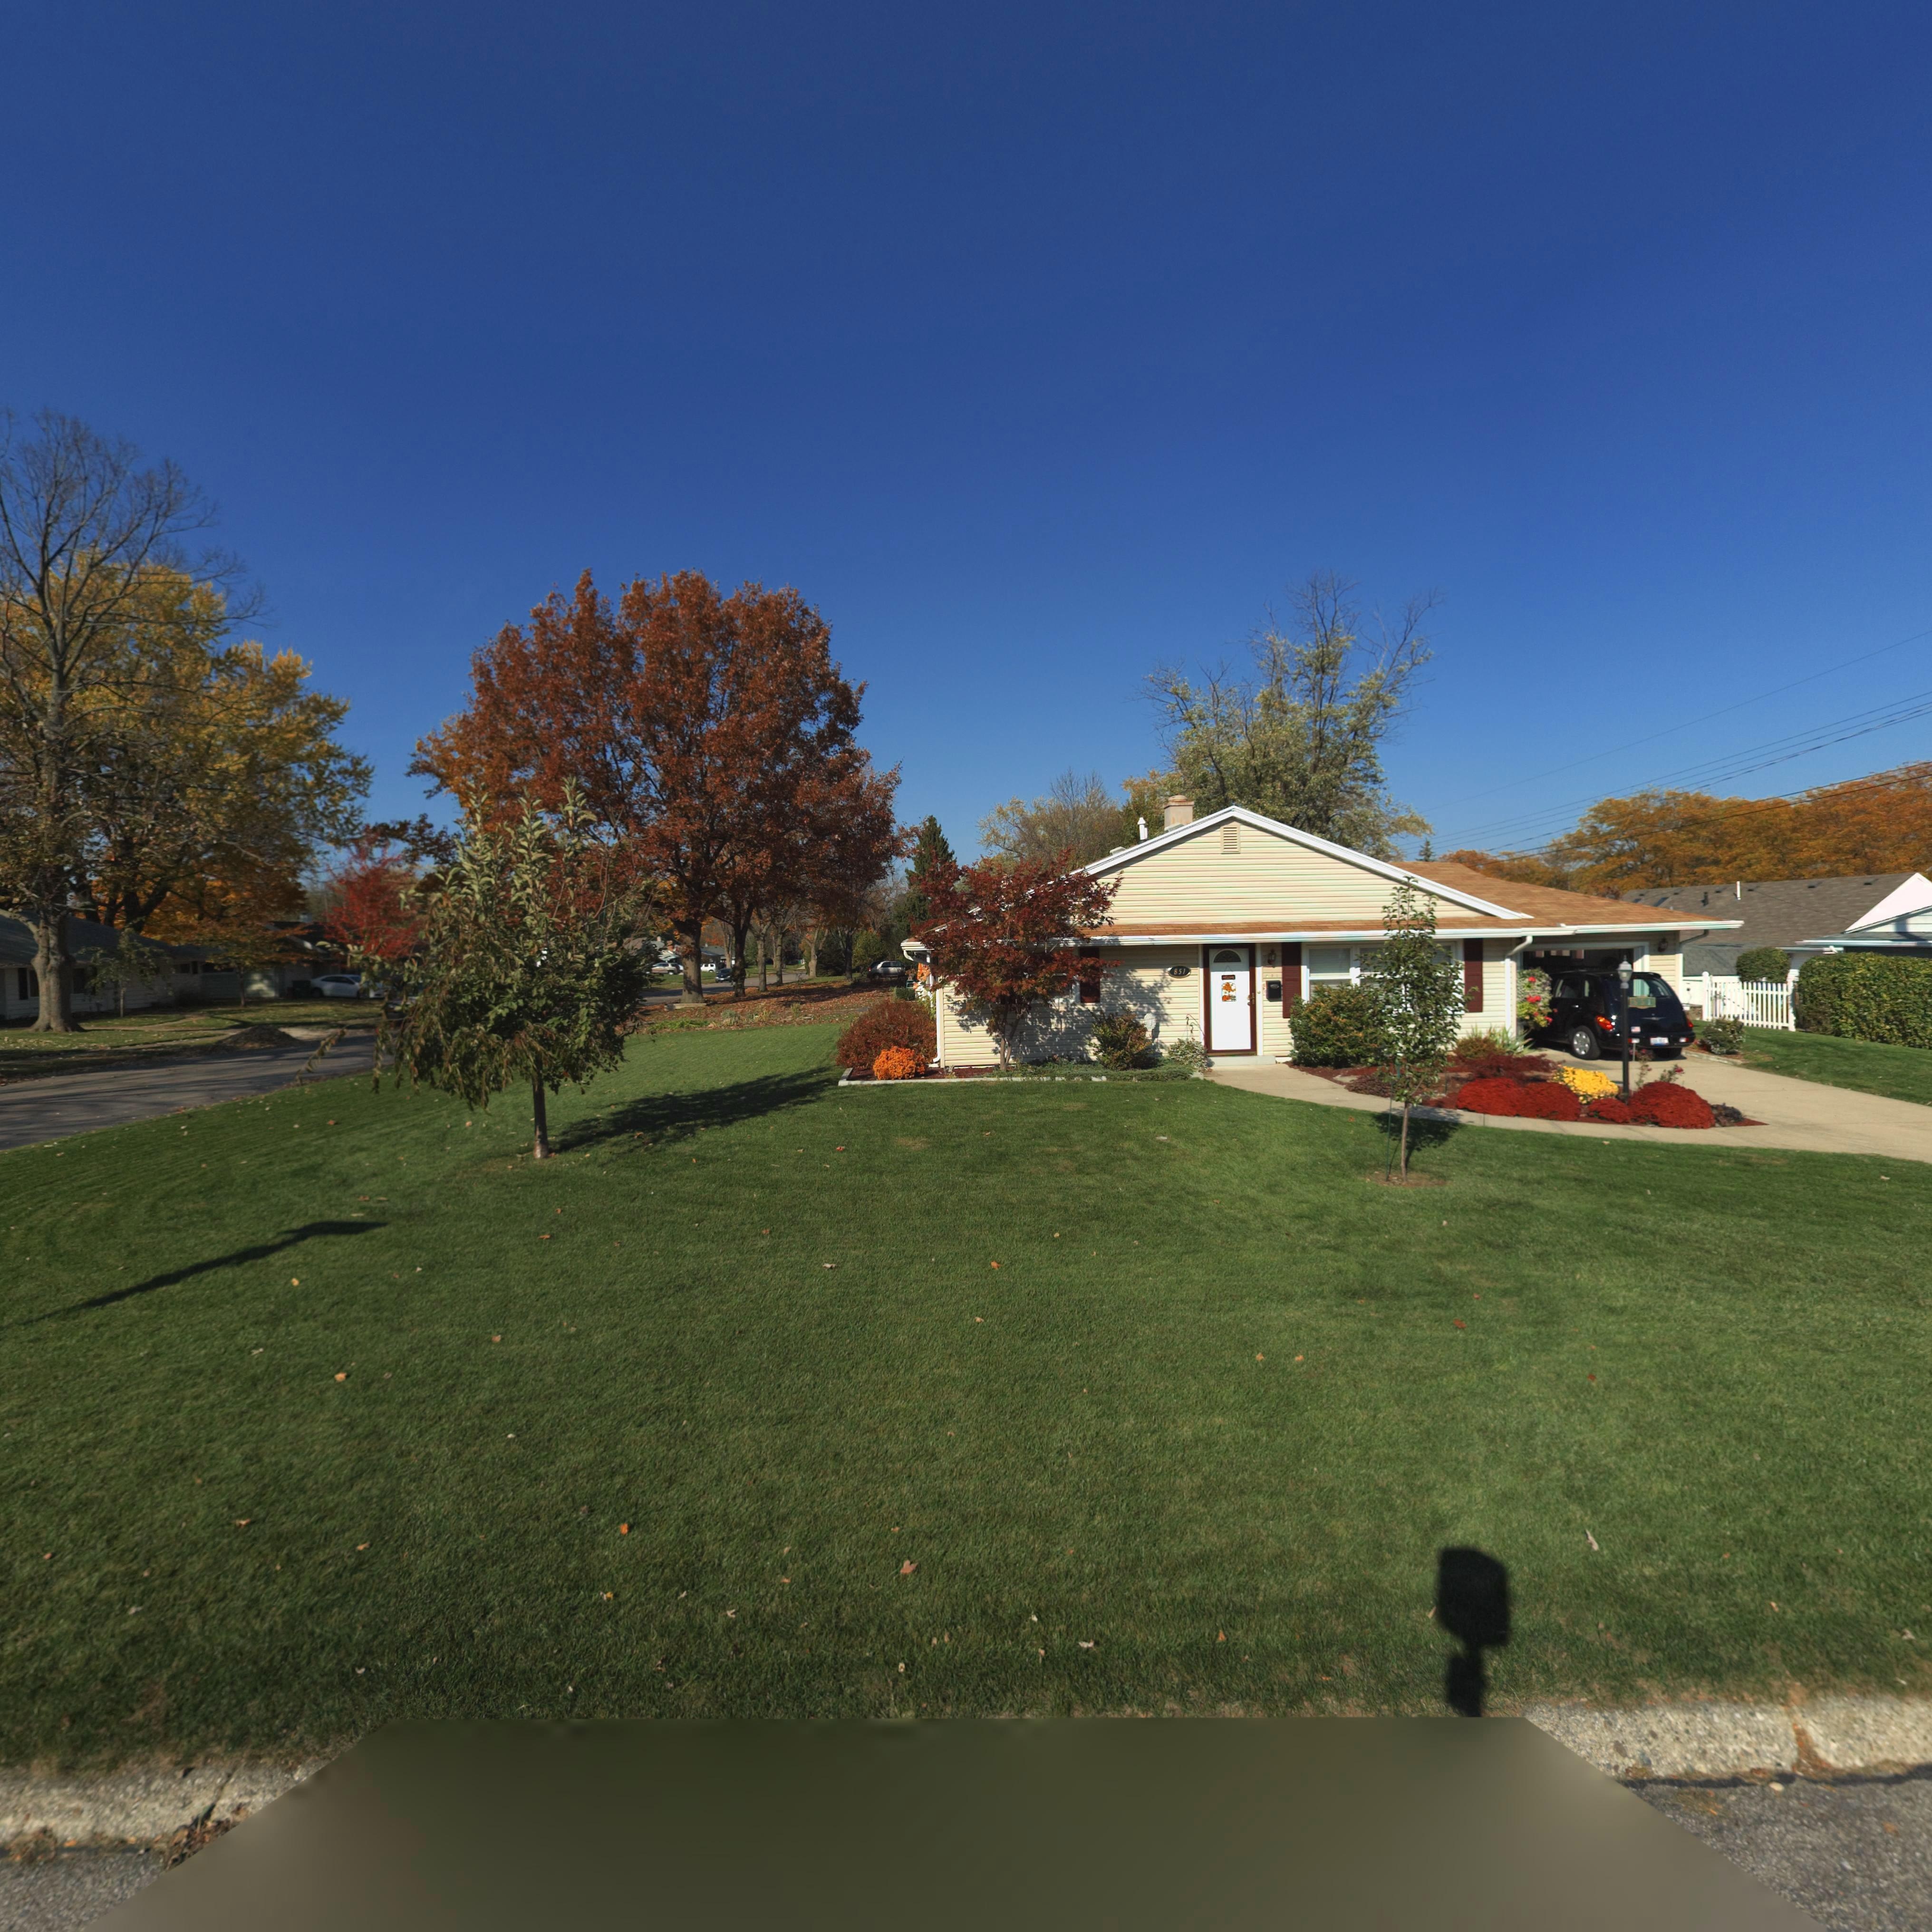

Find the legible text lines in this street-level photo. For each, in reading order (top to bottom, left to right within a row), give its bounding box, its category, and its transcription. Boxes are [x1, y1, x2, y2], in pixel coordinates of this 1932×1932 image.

[1173, 968, 1186, 975] StreetNumber: 851
[1632, 998, 1652, 1005] StreetNumber: 85*